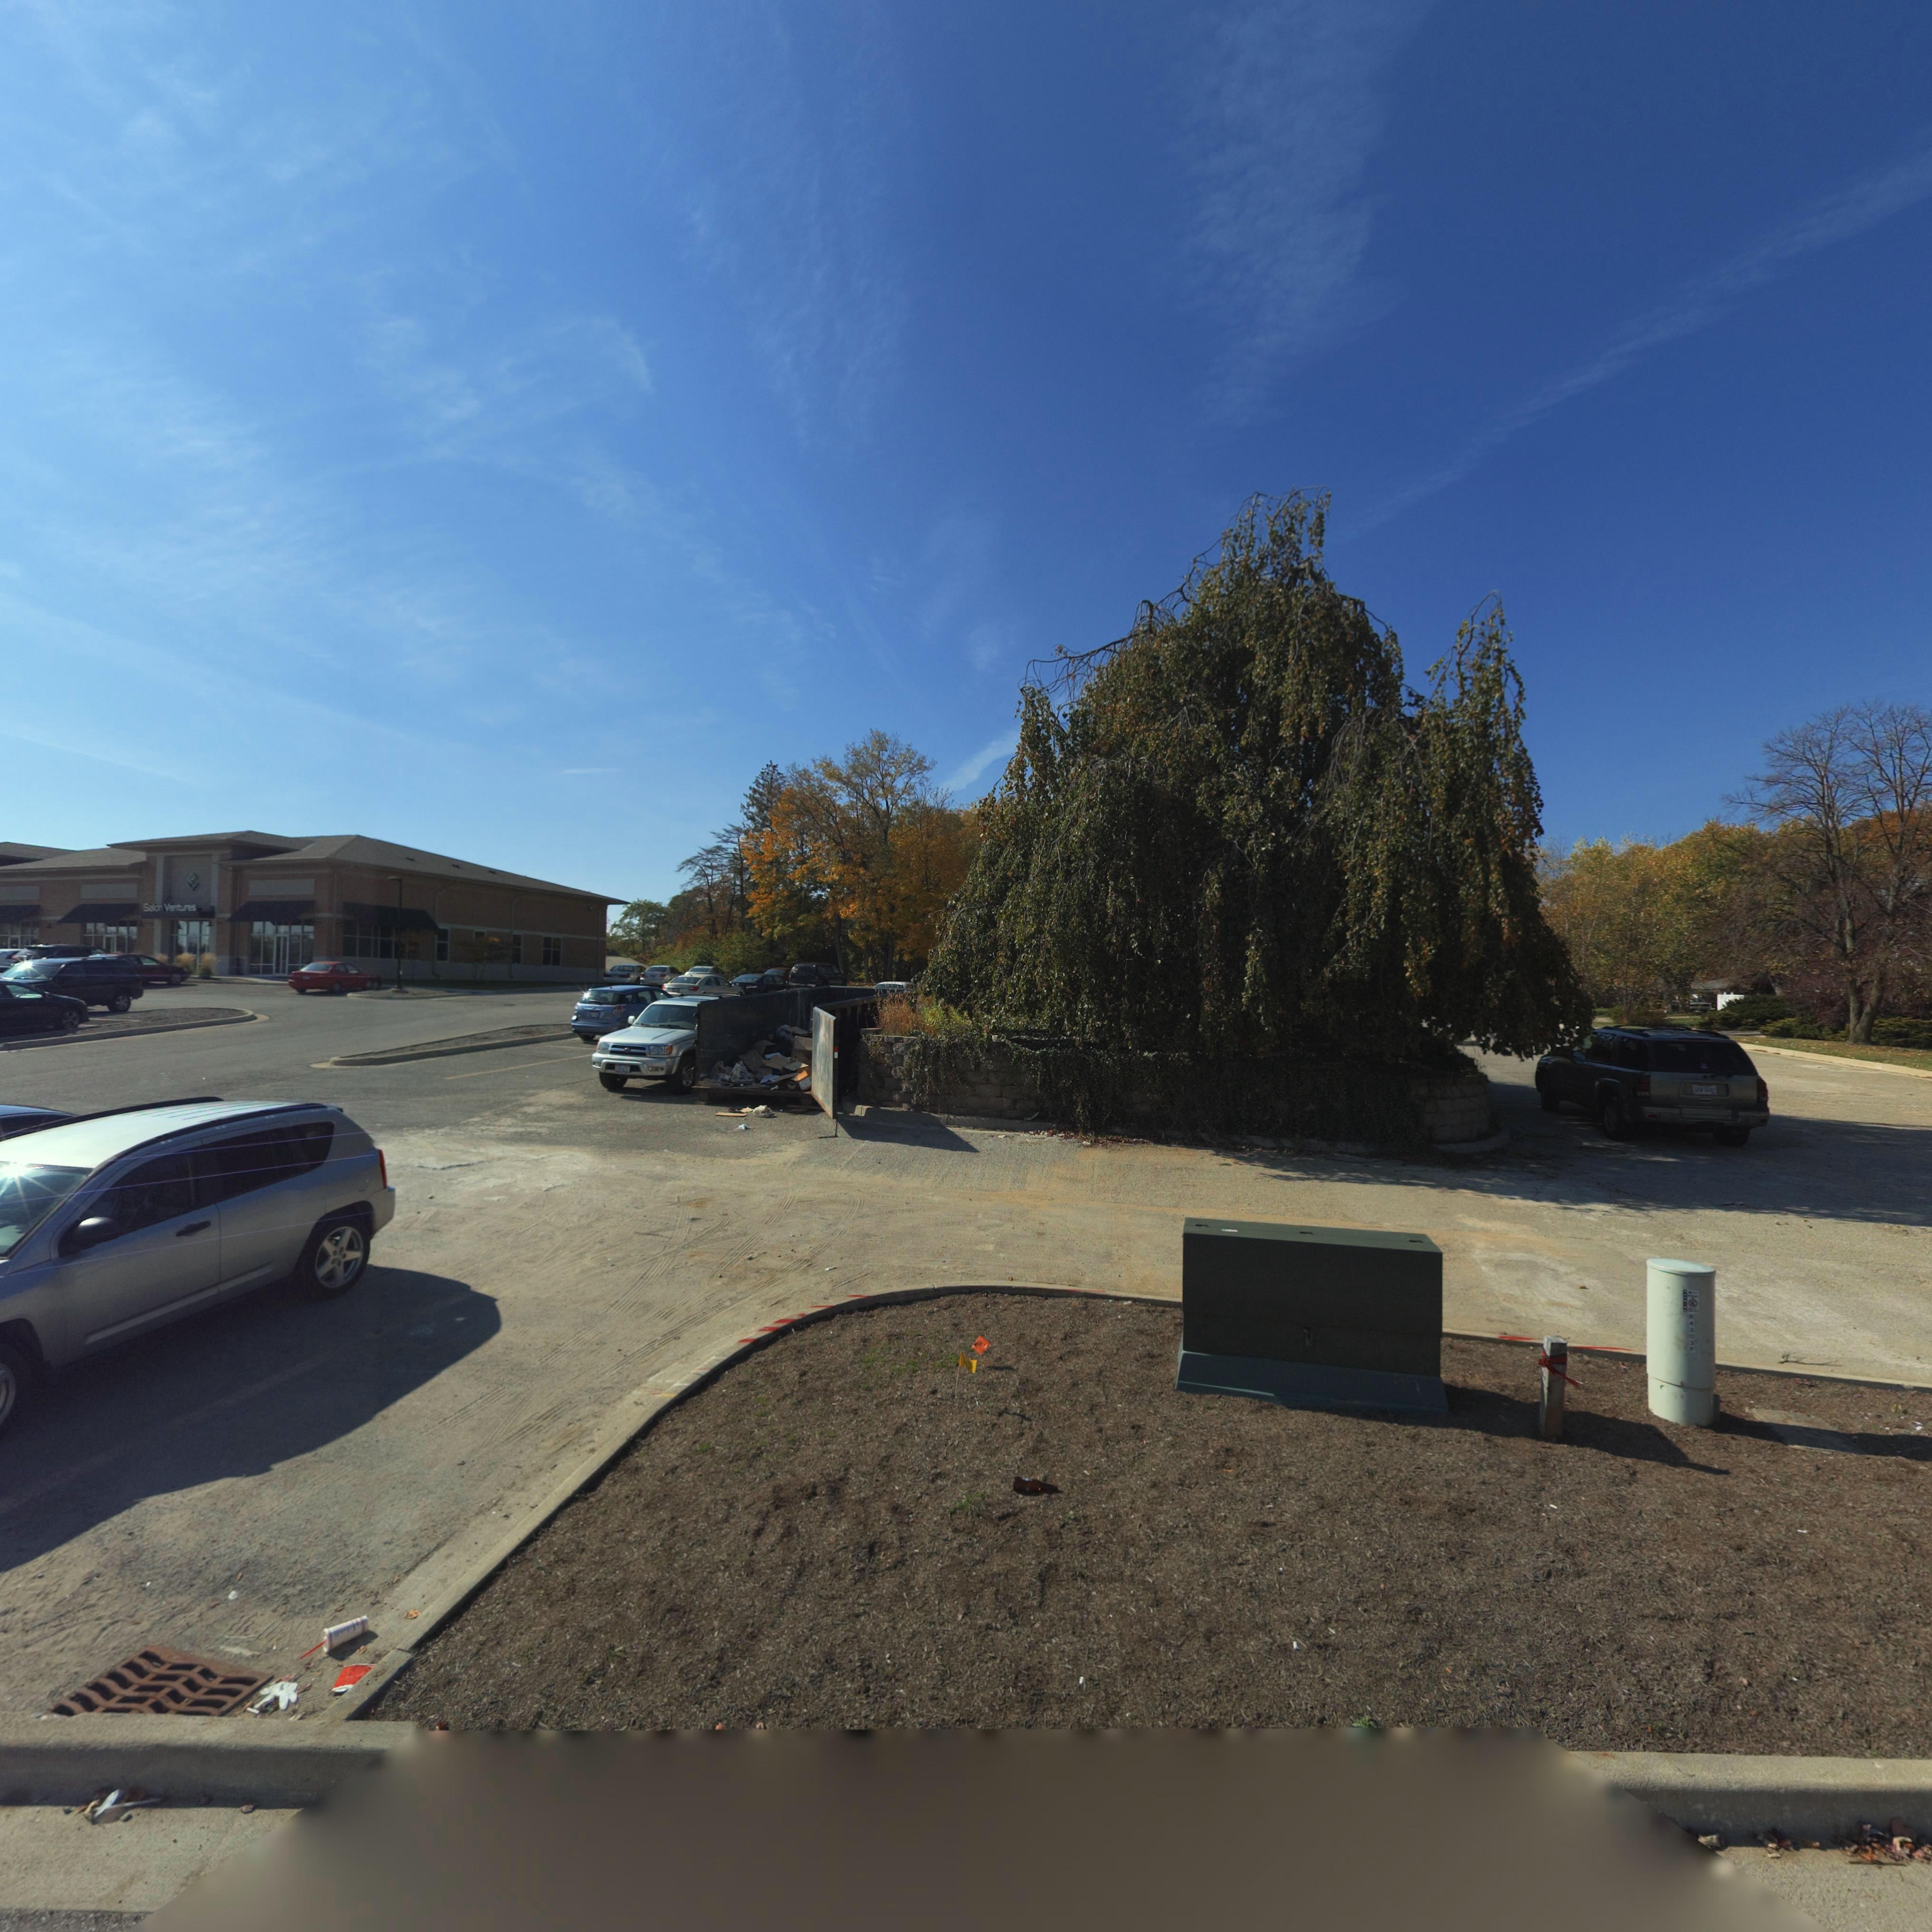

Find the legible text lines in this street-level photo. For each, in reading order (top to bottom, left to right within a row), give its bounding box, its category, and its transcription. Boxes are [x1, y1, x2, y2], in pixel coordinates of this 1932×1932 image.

[142, 901, 198, 914] StreetNumber: Salon V****res